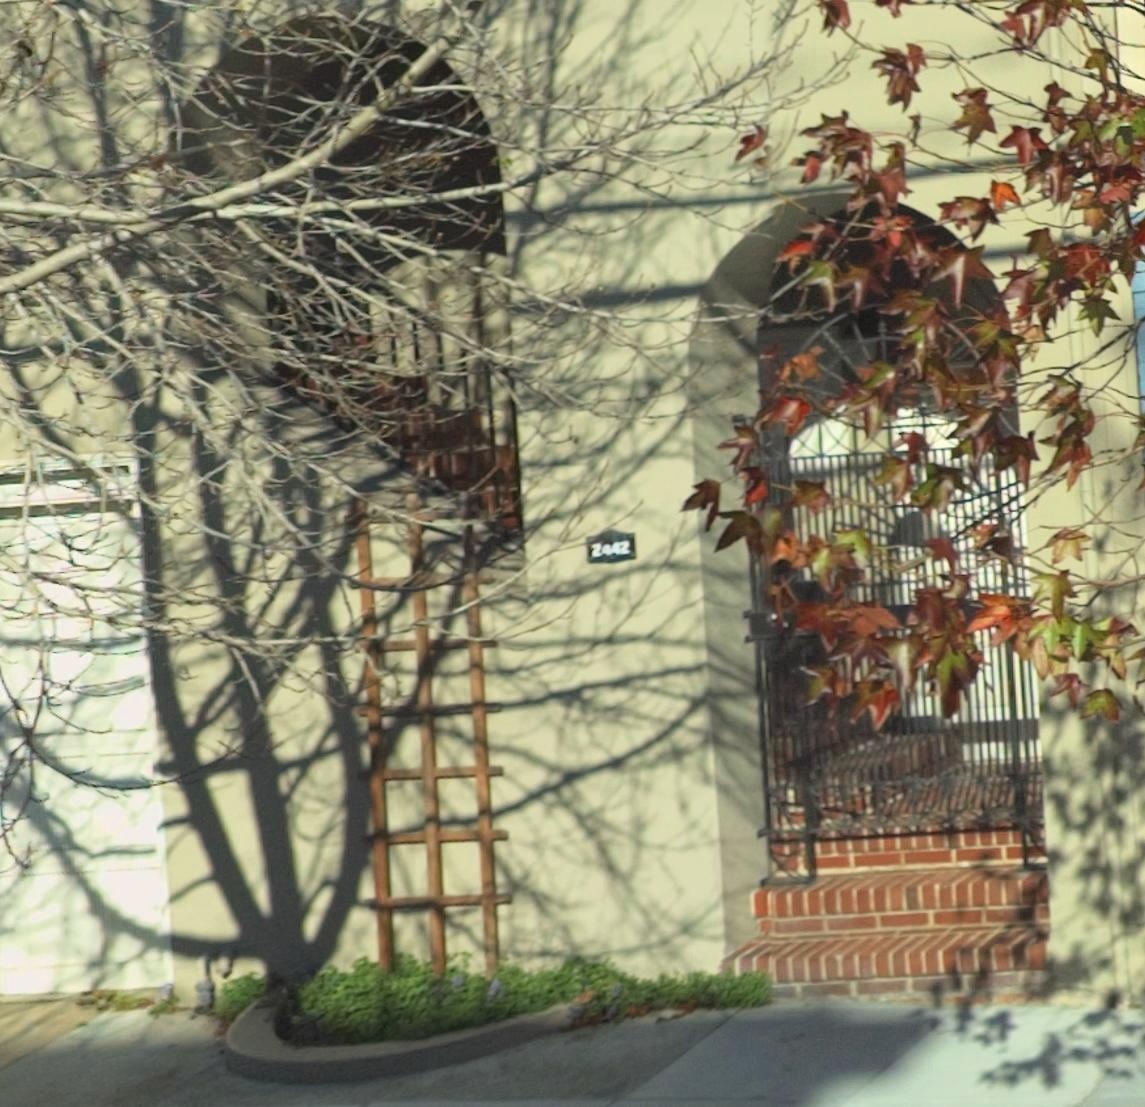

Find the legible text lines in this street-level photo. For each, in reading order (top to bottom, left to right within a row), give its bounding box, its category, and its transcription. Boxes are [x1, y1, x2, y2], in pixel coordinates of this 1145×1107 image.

[589, 538, 633, 559] StreetNumber: 2442